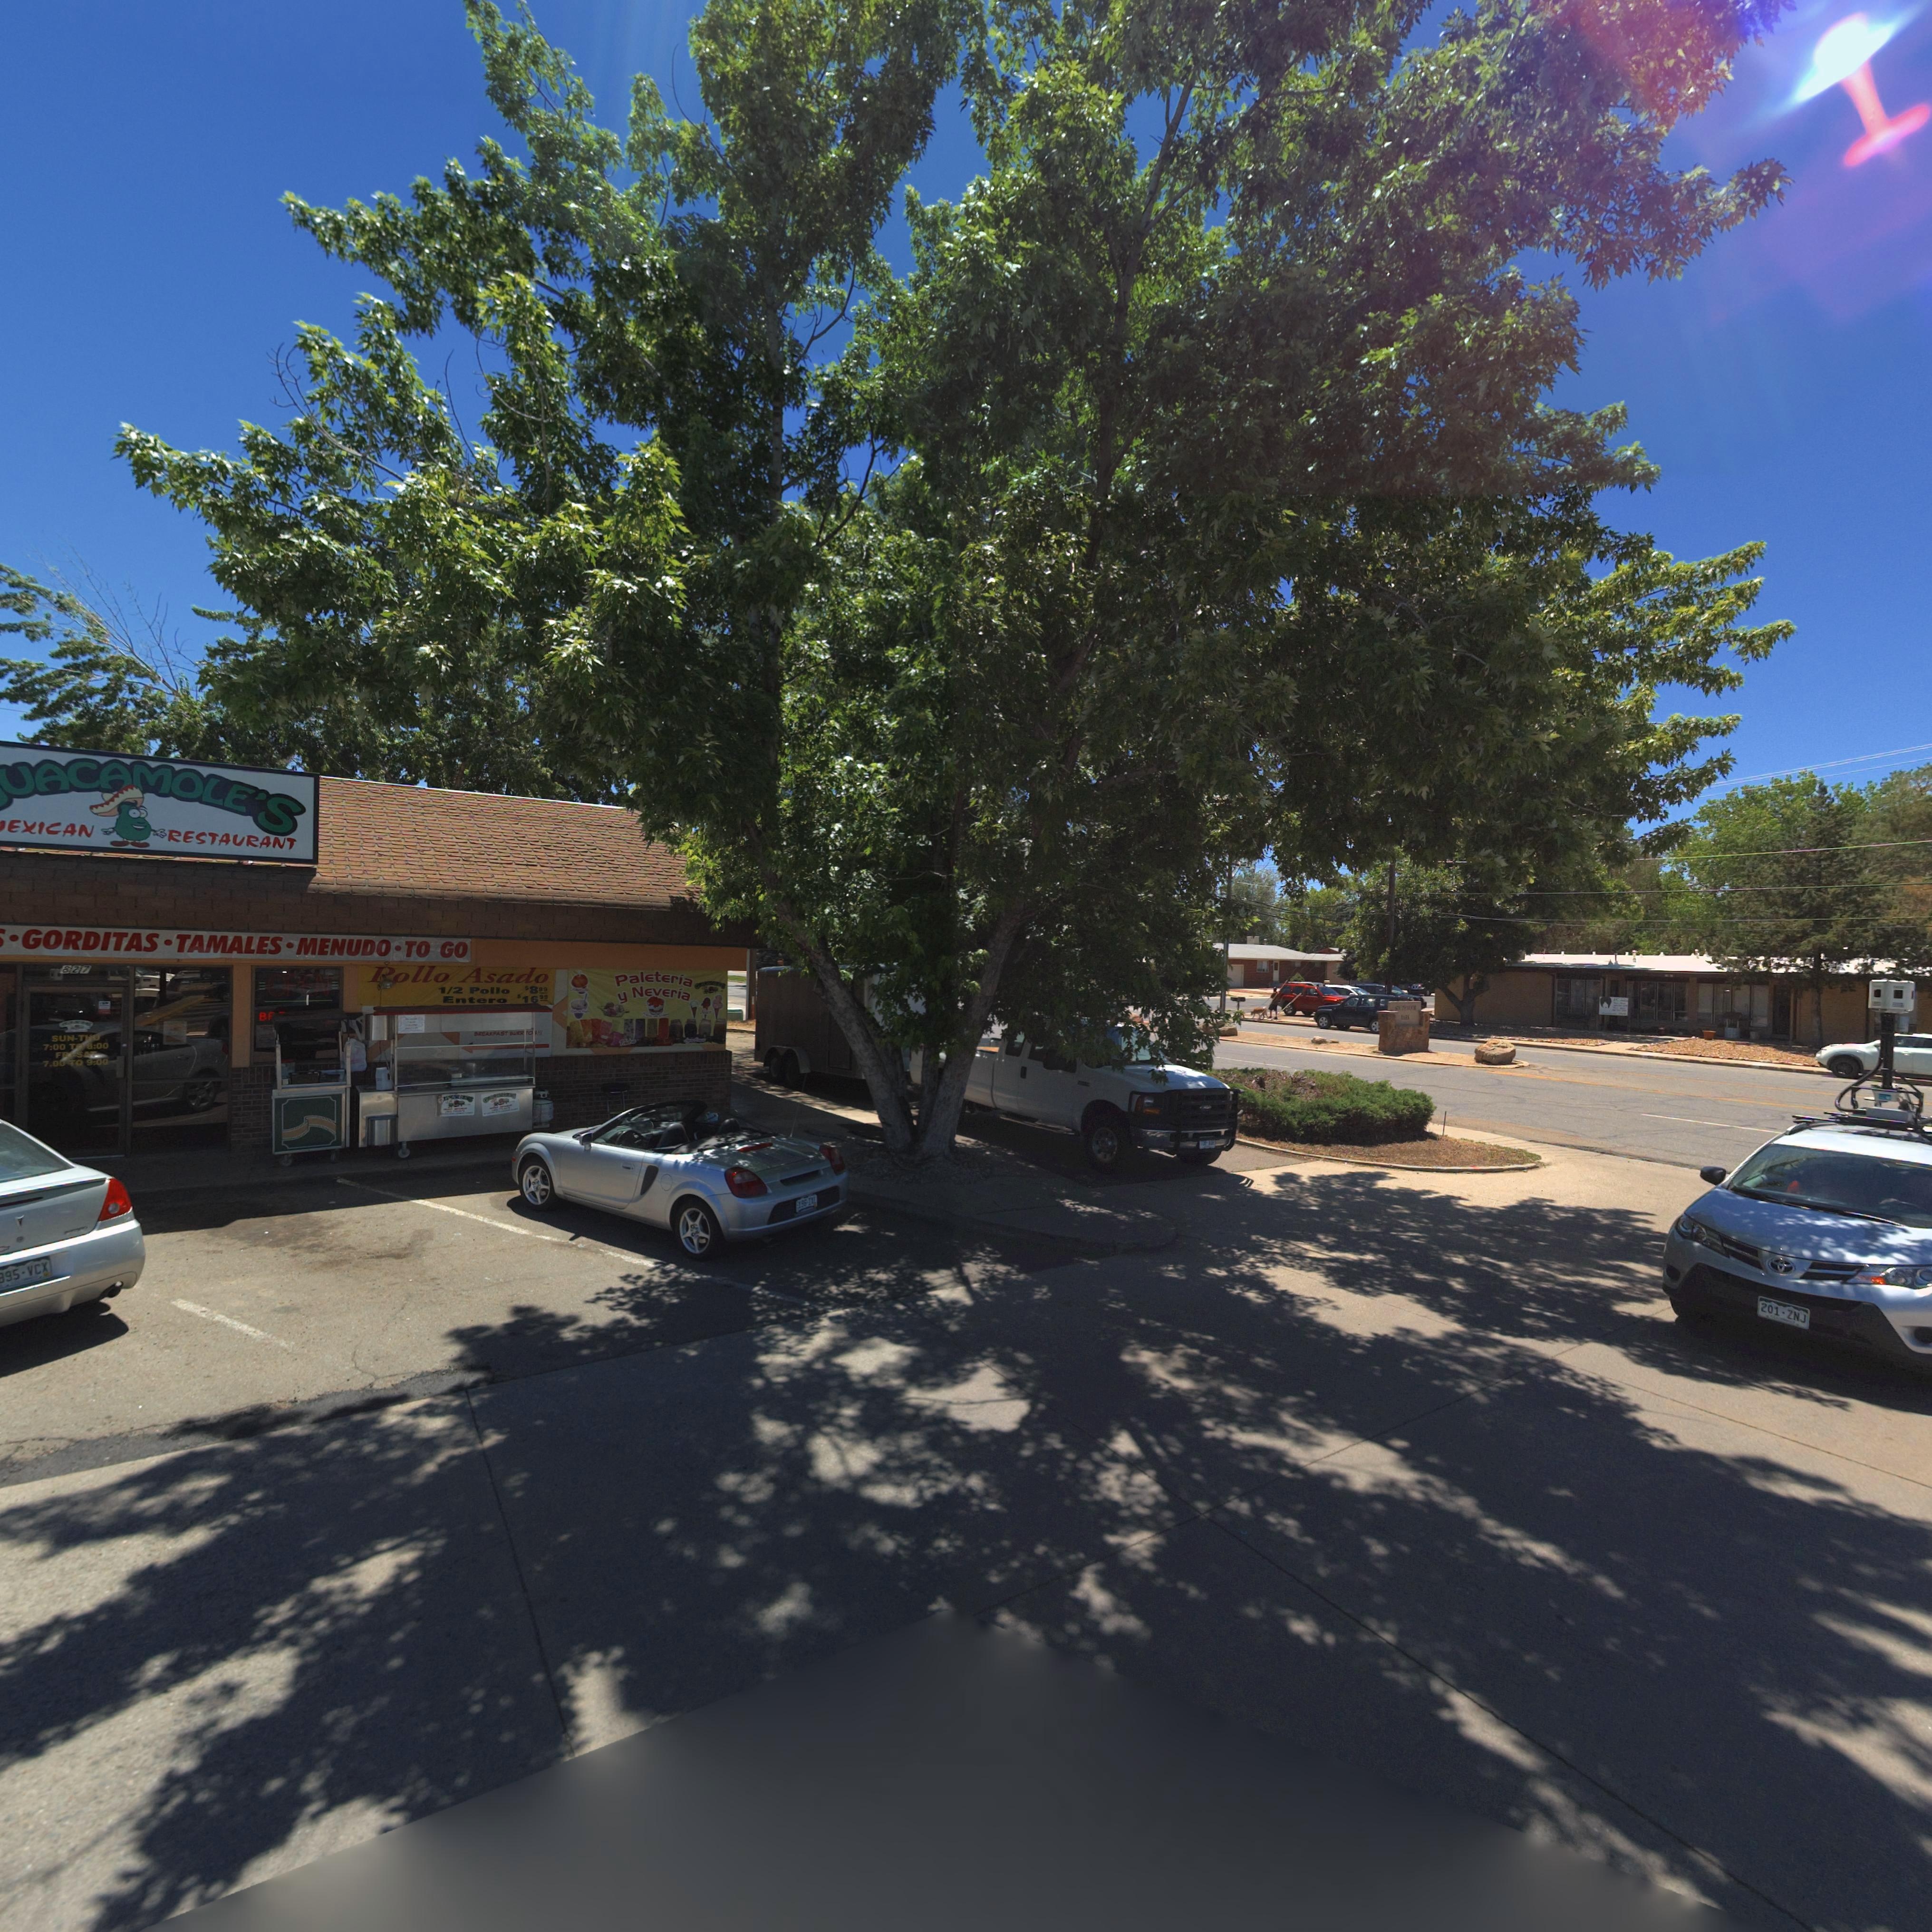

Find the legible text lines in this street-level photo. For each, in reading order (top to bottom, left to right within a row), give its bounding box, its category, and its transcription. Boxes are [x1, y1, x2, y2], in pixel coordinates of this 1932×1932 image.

[3, 758, 308, 837] BusinessName: *UACAMOLE'S
[61, 965, 90, 973] StreetNumber: 827